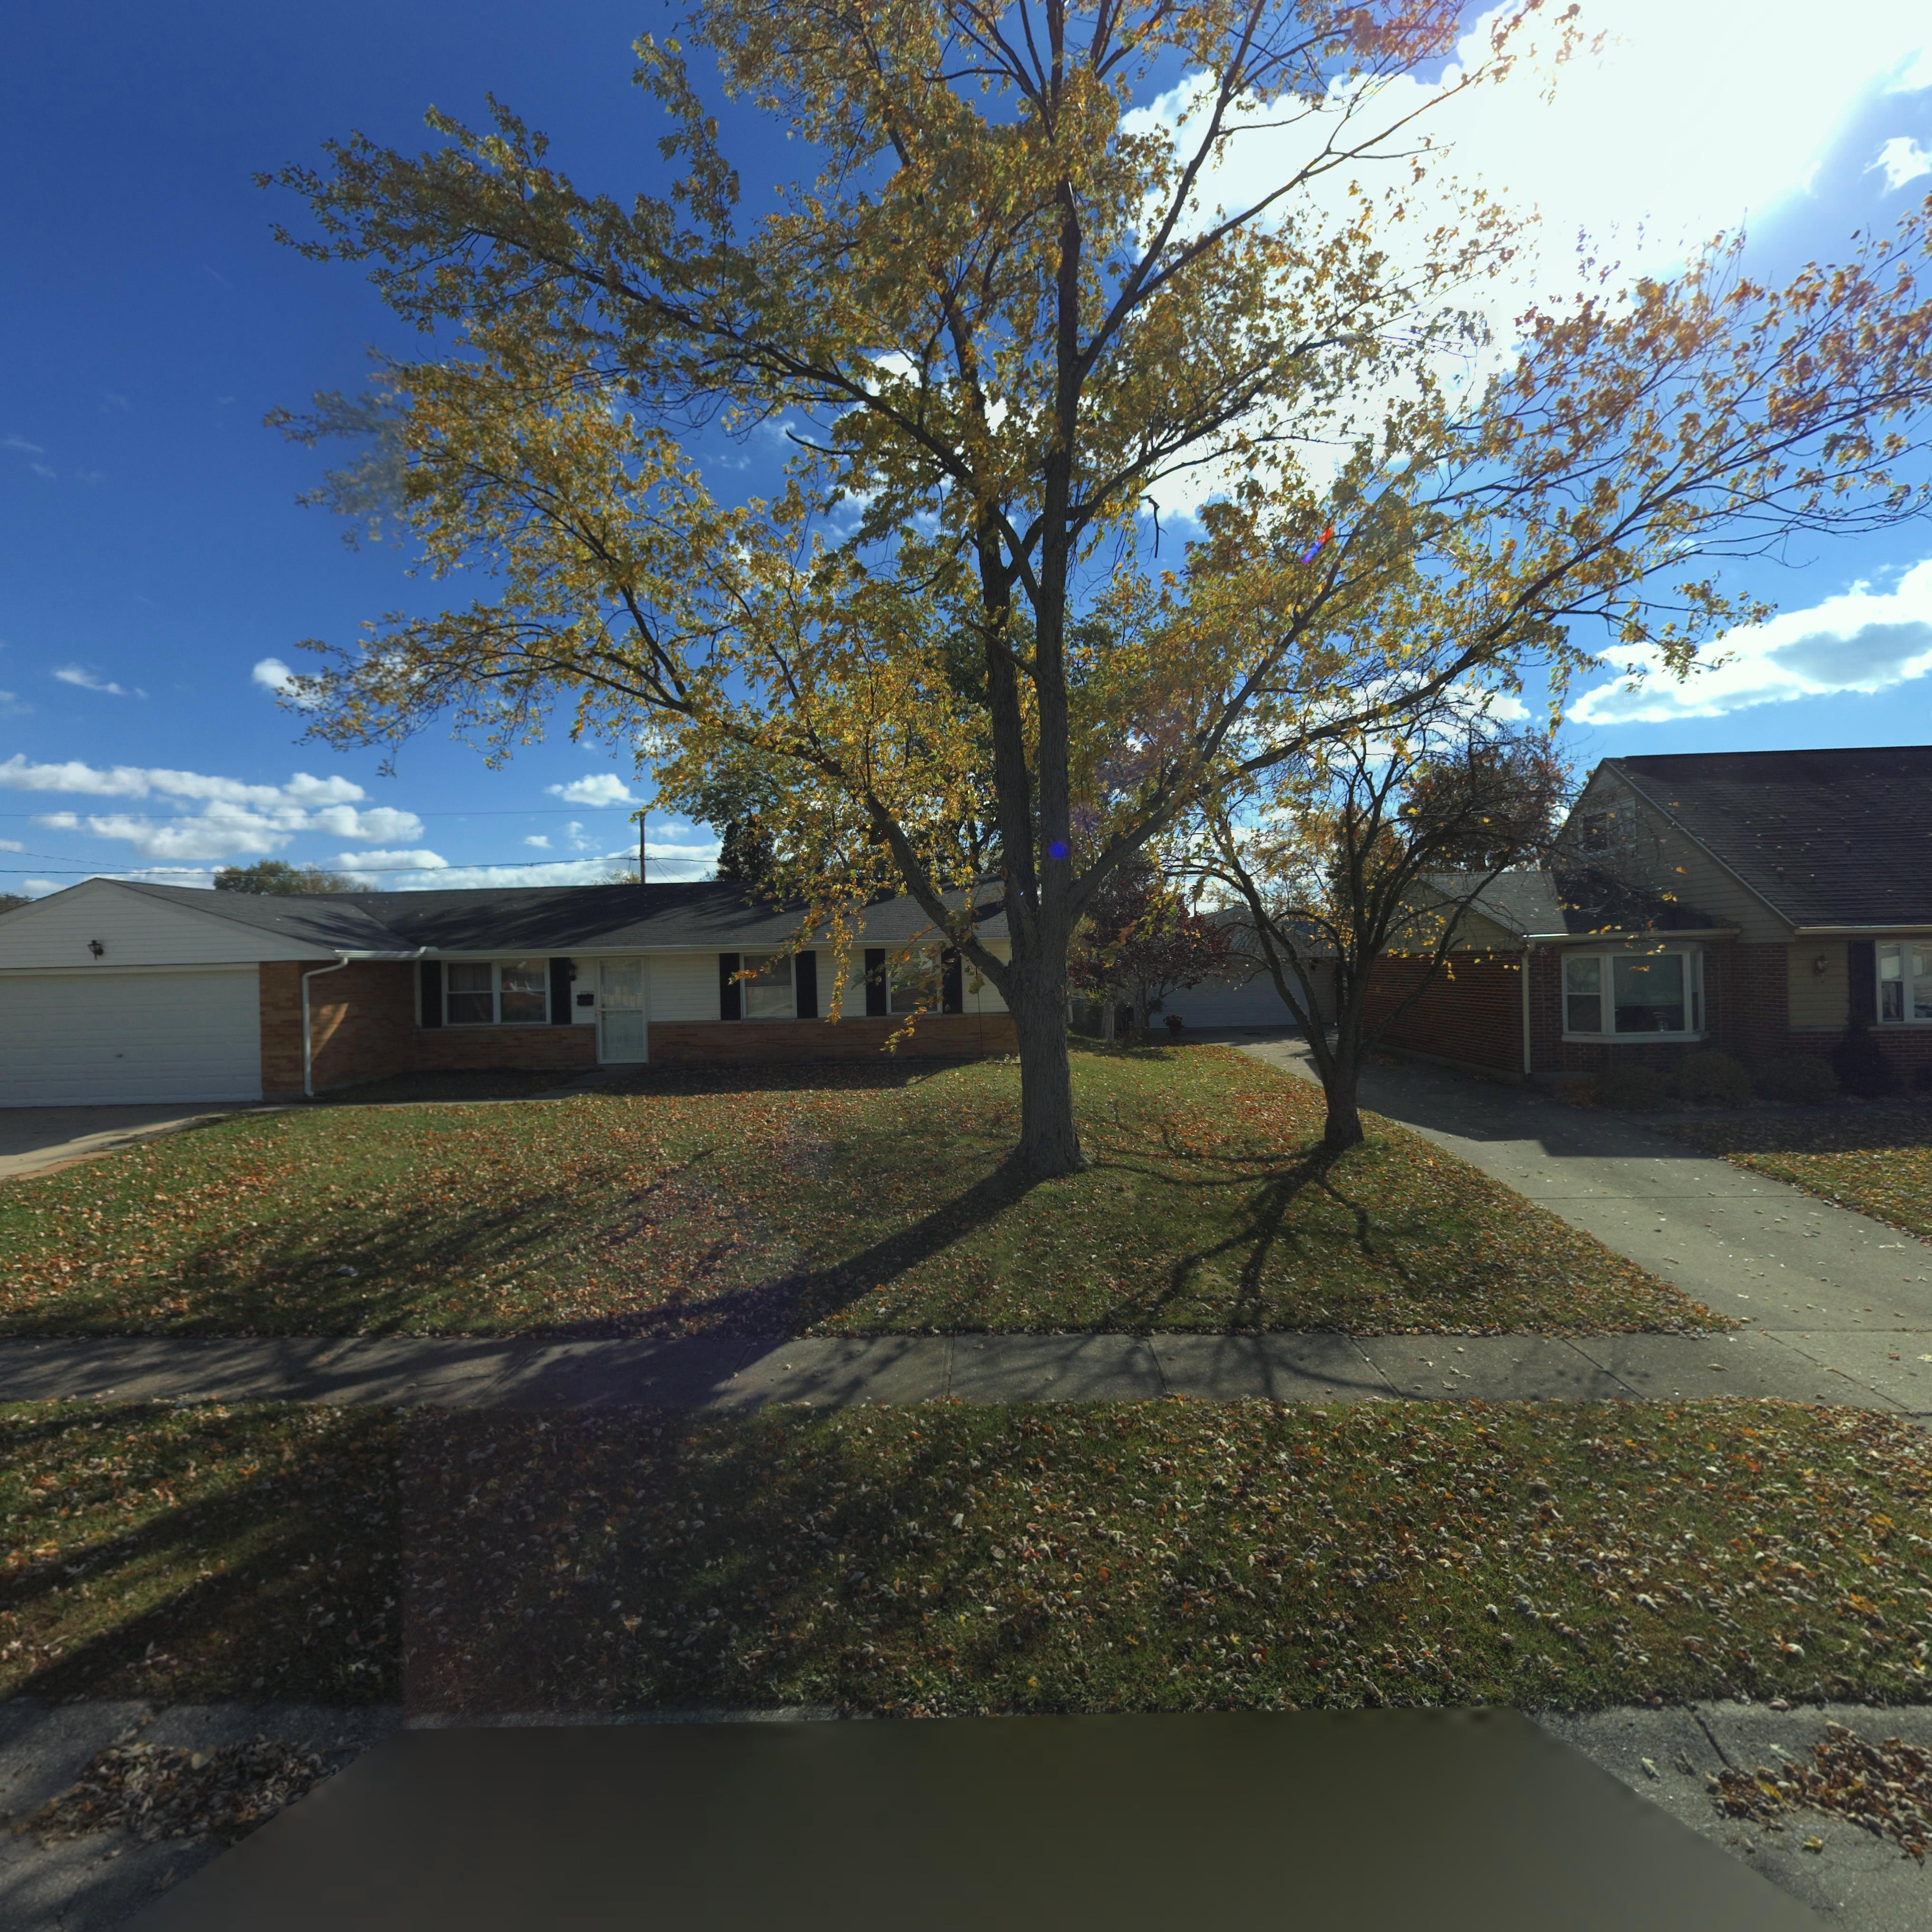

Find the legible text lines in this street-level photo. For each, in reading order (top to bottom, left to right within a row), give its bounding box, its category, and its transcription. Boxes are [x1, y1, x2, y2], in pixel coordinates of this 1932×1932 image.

[580, 990, 594, 995] StreetNumber: 77*0